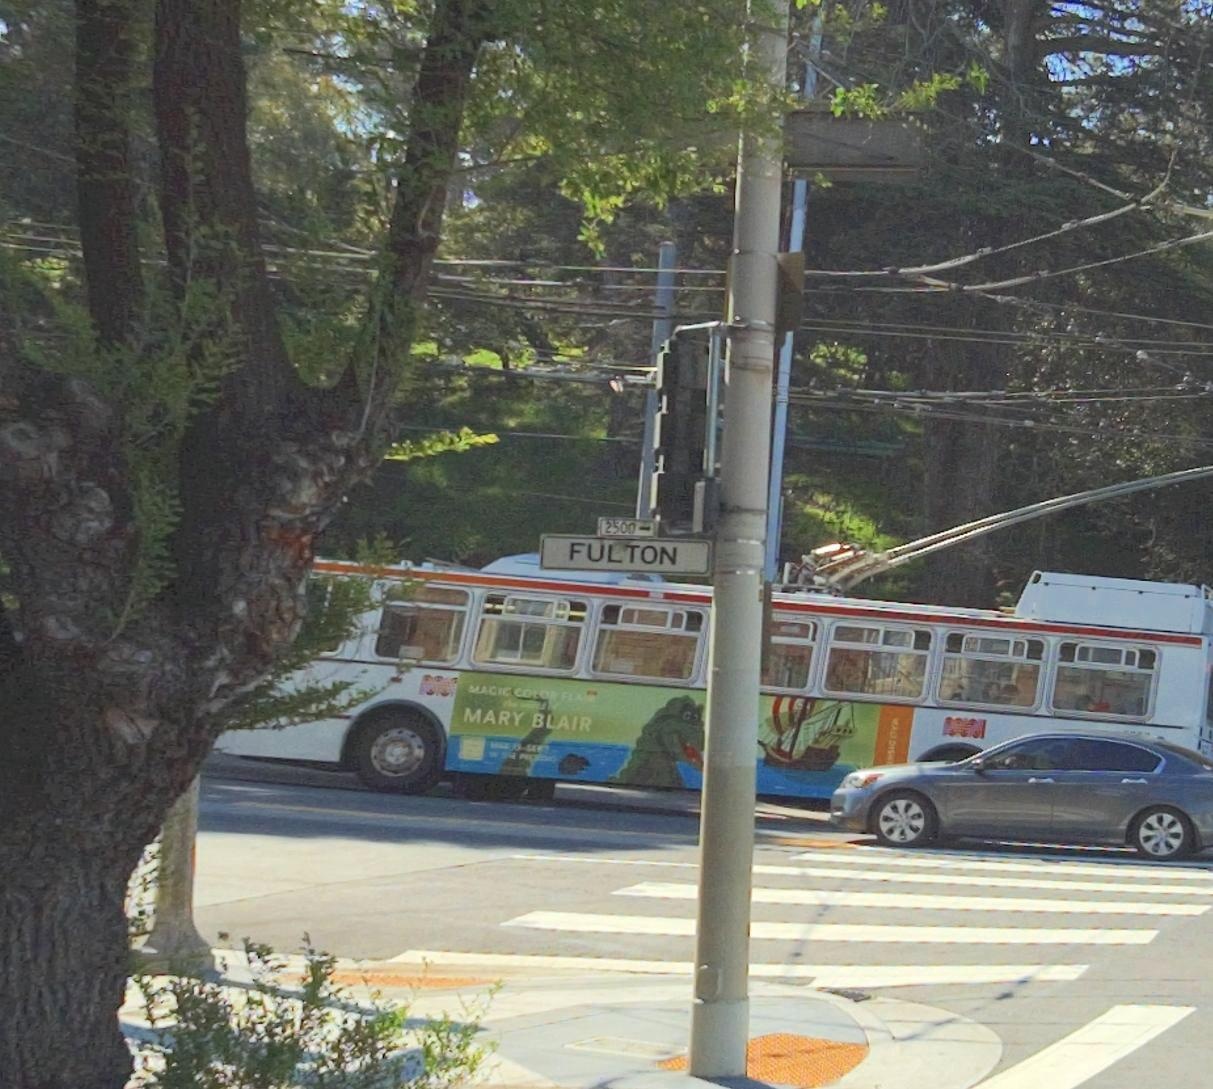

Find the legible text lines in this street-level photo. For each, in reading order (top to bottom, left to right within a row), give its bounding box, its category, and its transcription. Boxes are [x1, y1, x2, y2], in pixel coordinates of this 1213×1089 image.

[602, 518, 653, 539] StreetNumberRange: 2500->
[564, 538, 682, 568] StreetName: FULTON
[466, 682, 558, 703] None: MAGIC COLOR
[460, 701, 595, 735] None: MARY BLAIR